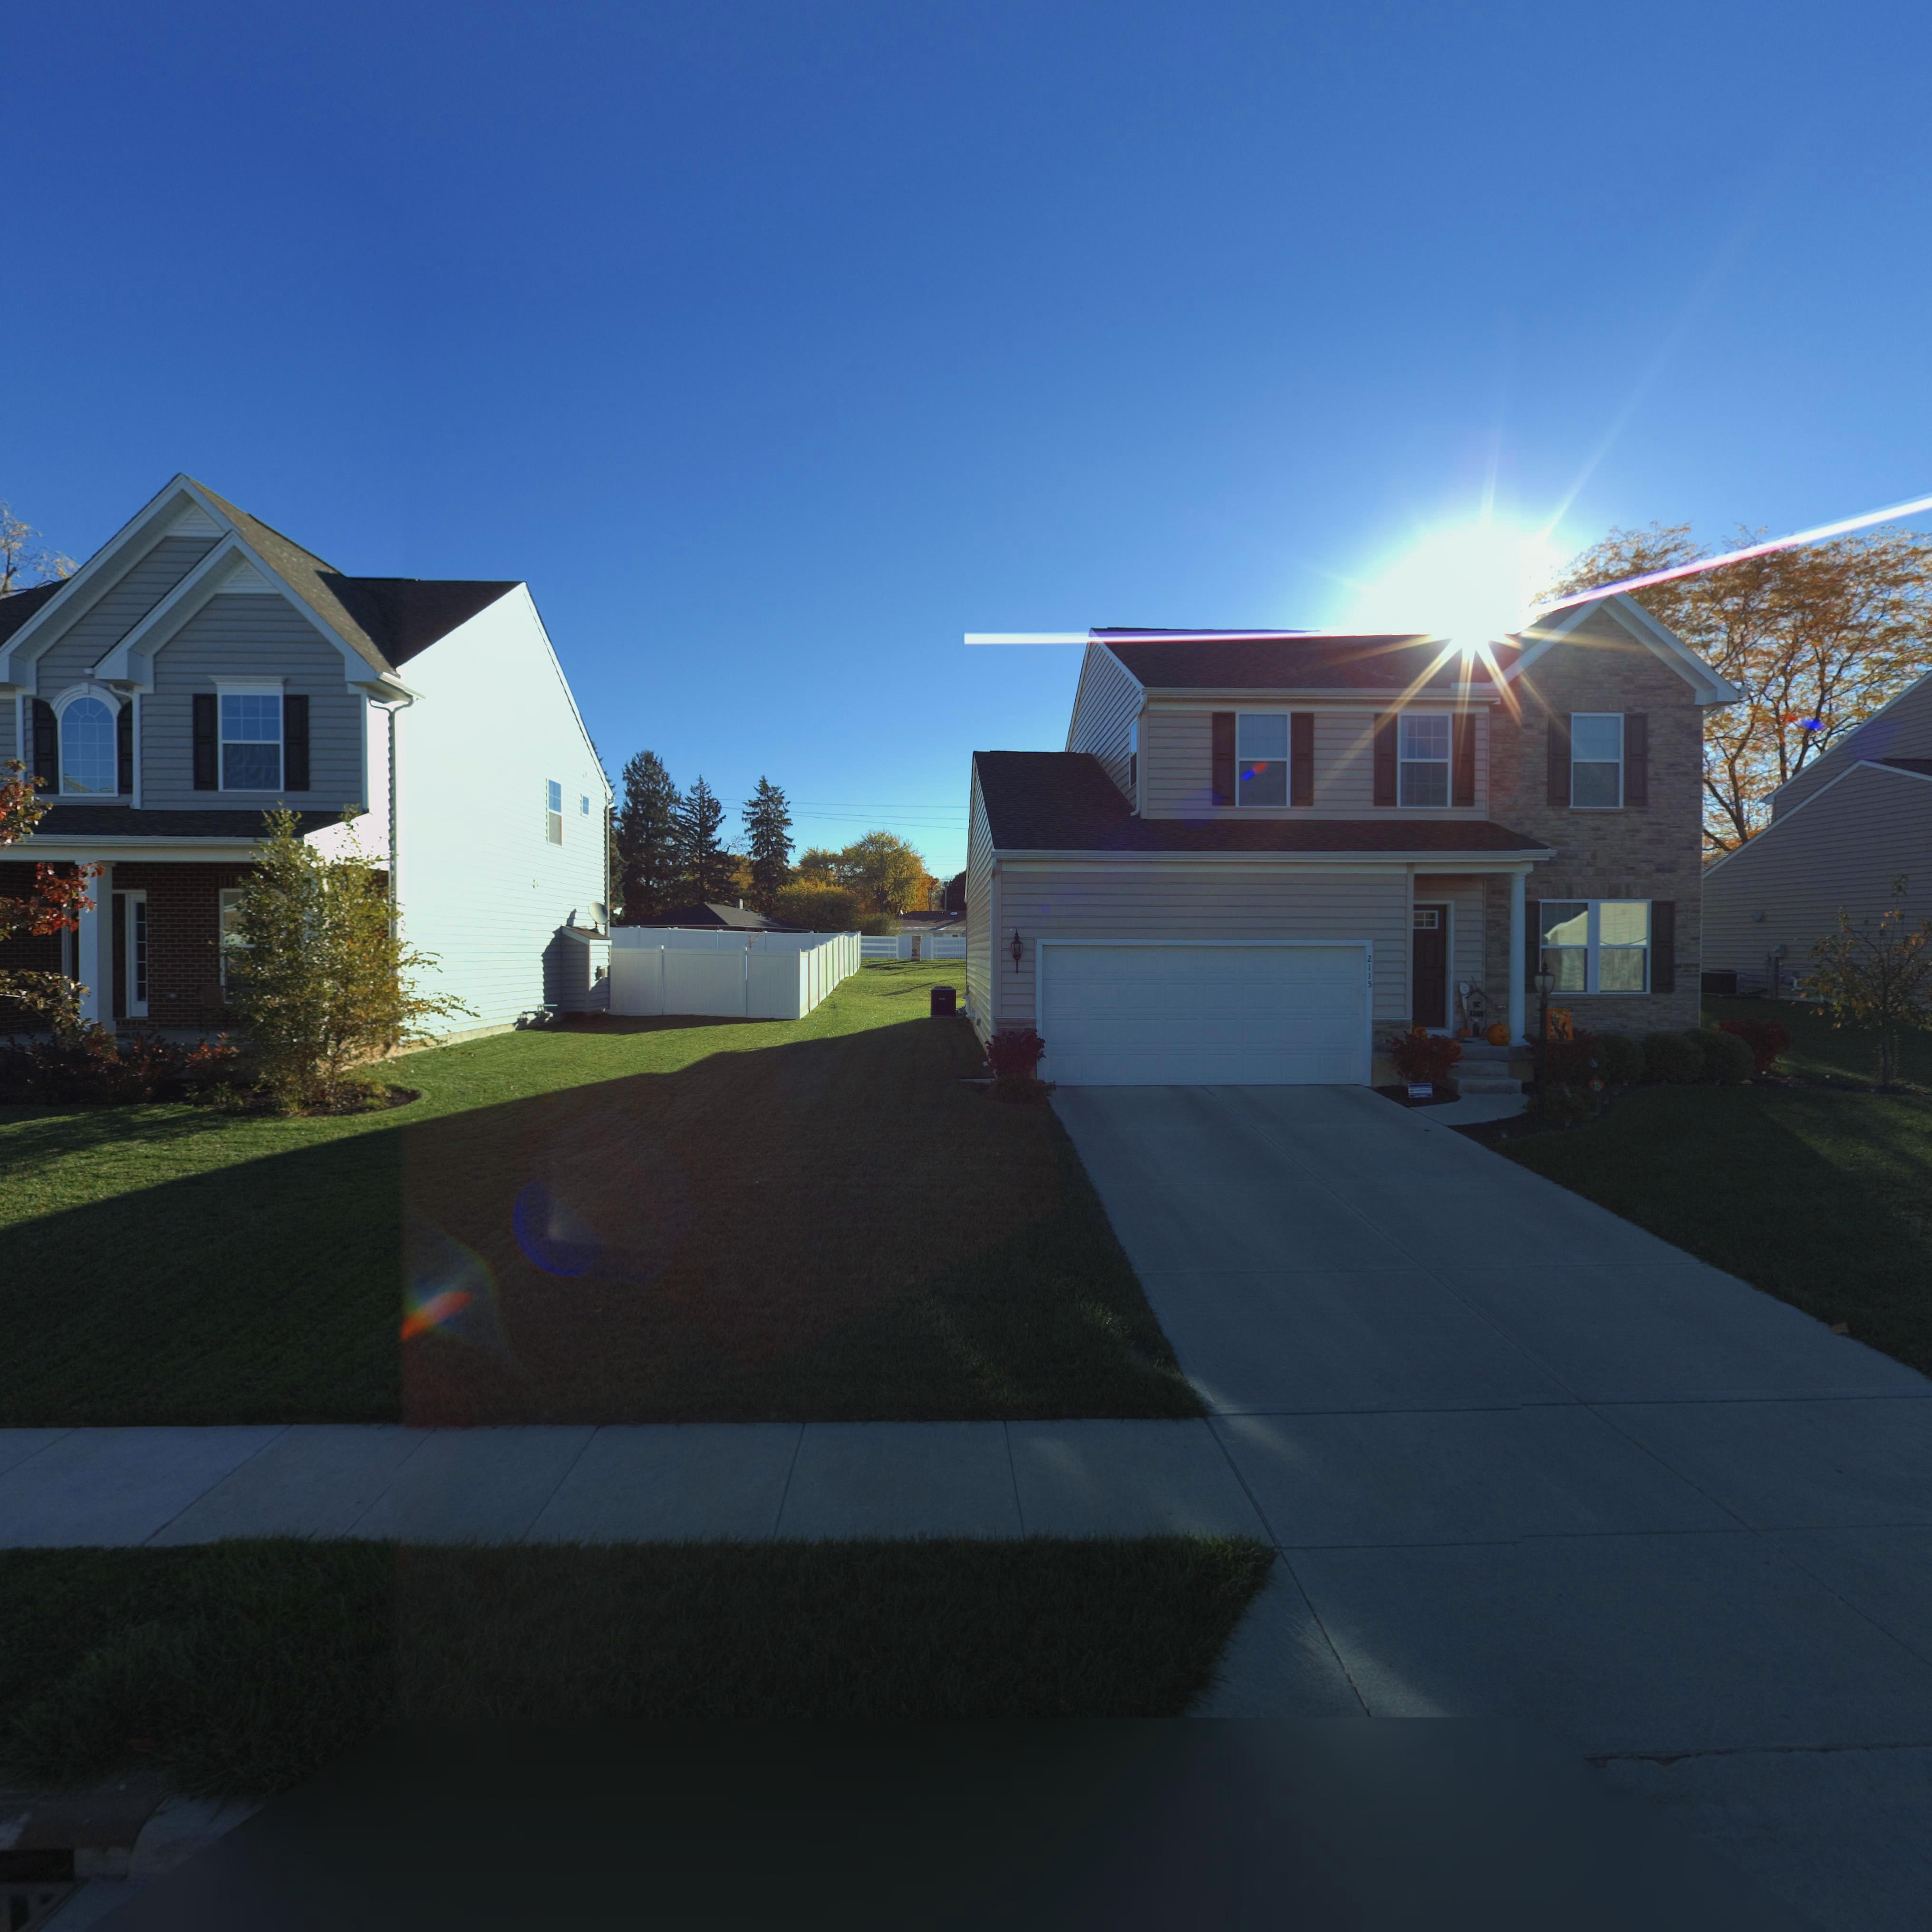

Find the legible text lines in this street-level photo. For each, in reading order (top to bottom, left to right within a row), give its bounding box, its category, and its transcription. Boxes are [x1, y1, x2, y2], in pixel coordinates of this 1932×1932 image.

[1366, 954, 1373, 989] StreetNumber: 2115